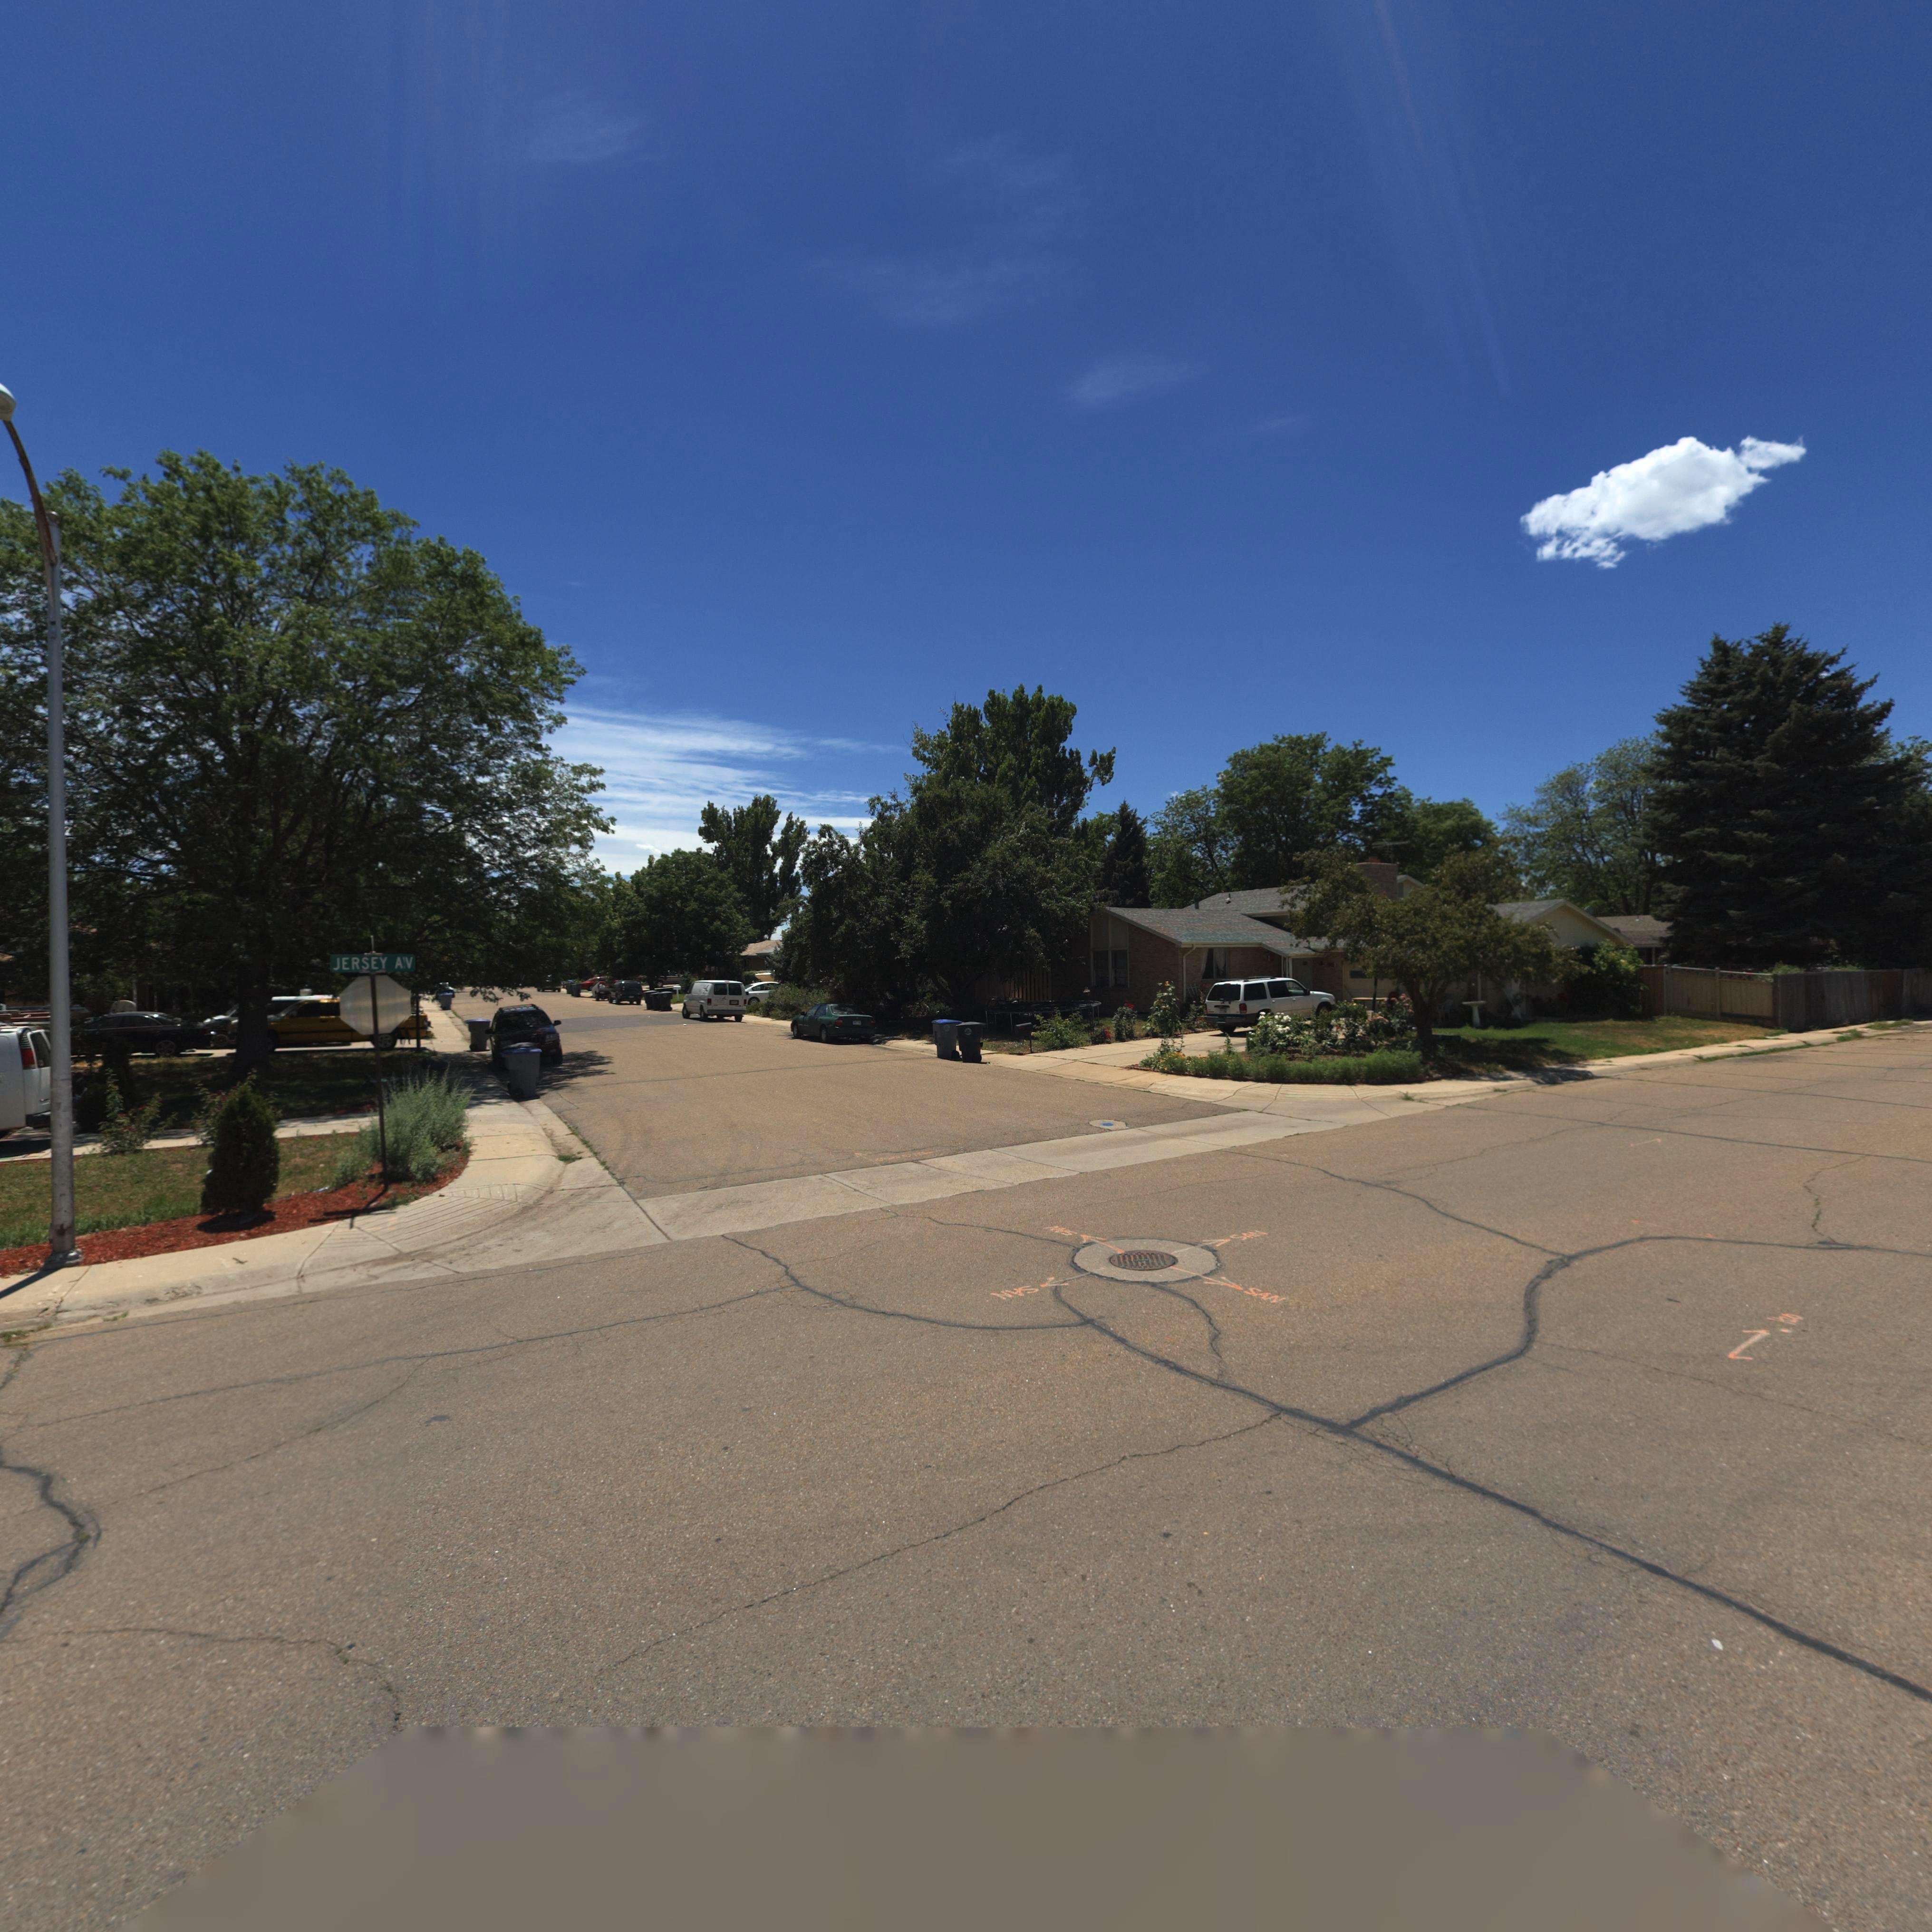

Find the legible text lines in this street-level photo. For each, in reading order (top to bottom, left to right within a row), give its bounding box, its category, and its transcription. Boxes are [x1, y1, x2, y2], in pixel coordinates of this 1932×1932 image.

[332, 956, 414, 970] StreetName: JERSEY AV